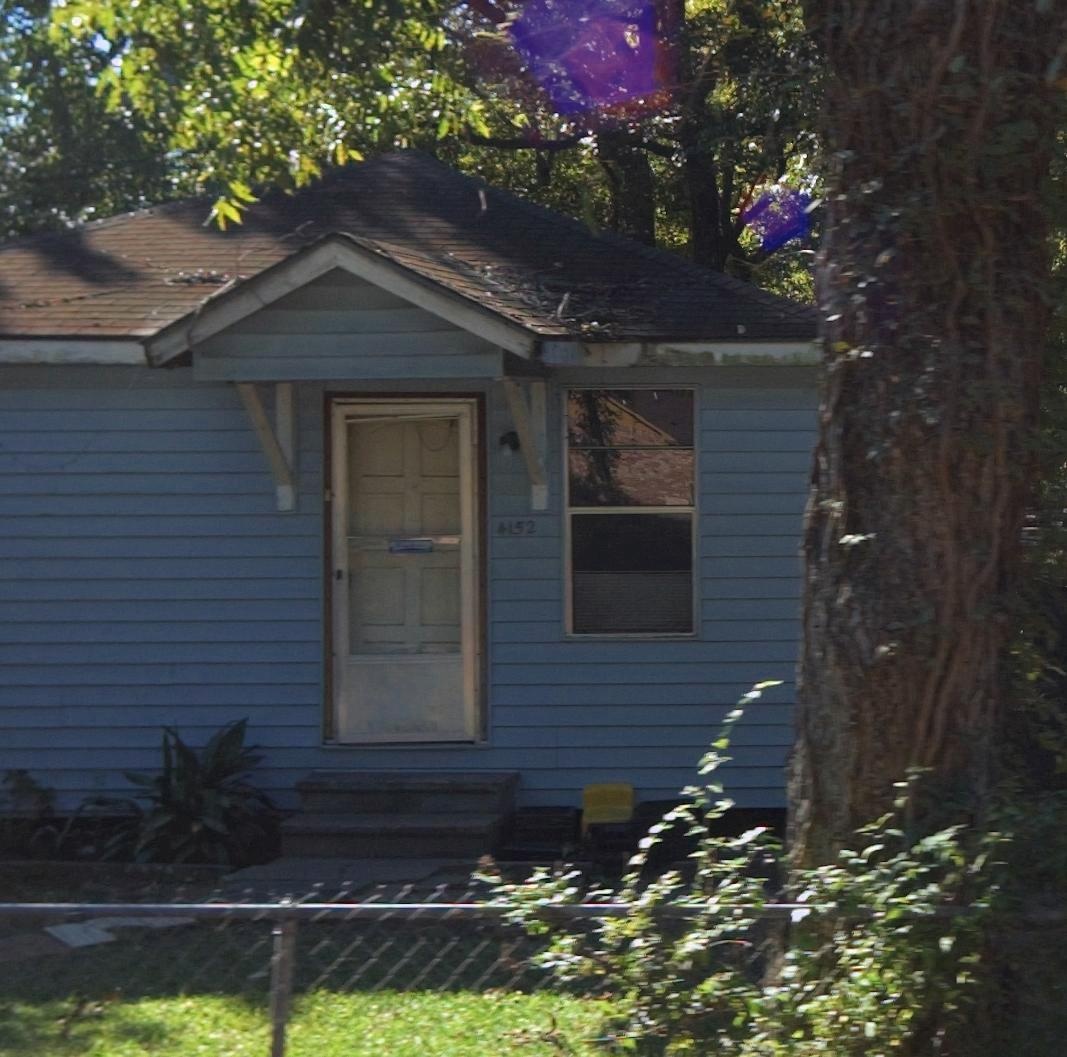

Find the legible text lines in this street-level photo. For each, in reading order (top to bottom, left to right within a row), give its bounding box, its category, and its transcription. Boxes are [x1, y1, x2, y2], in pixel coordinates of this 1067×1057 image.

[493, 518, 538, 538] StreetNumber: 4152